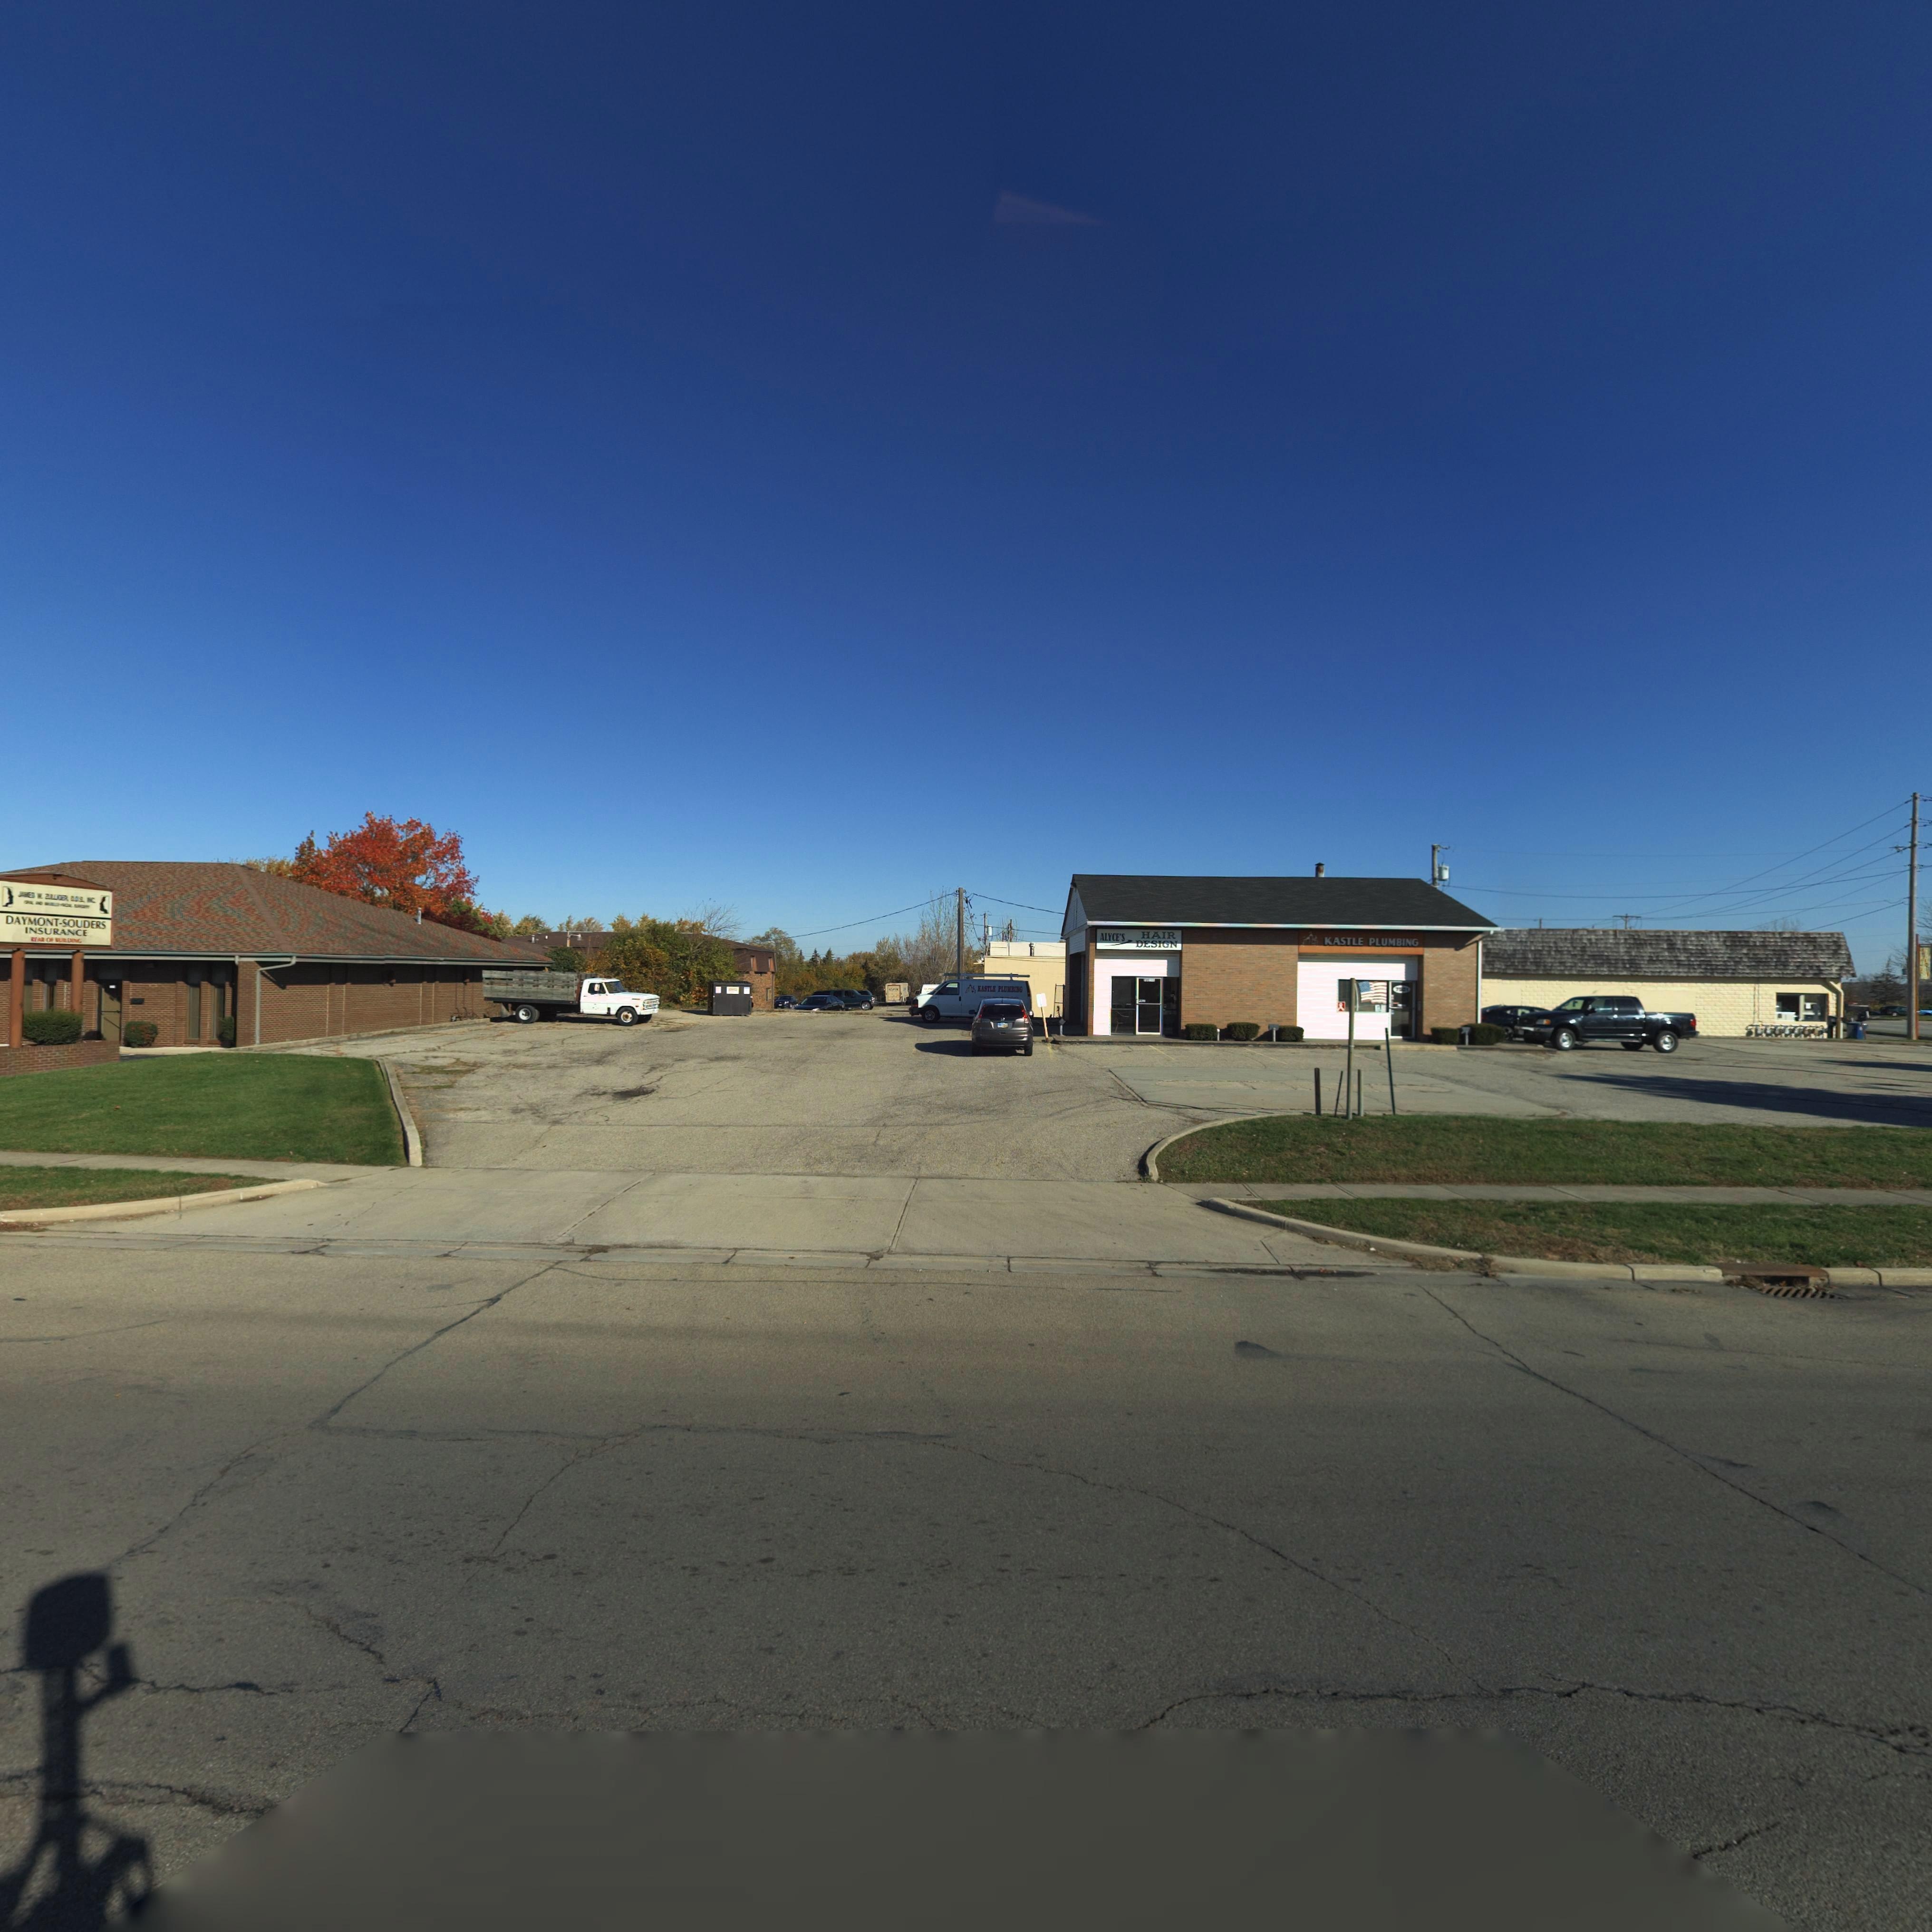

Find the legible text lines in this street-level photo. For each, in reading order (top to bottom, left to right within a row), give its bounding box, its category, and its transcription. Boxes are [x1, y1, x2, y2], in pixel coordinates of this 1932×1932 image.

[5, 915, 107, 930] BusinessName: DAYMONT-SOUDERS
[24, 926, 88, 937] BusinessName: INSURANCE
[1099, 932, 1126, 942] BusinessName: ALYCE'S
[1135, 939, 1179, 948] BusinessName: DESIGN
[1140, 930, 1177, 940] BusinessName: HAIR
[1323, 936, 1420, 947] BusinessName: KASTLE PLUMBING
[977, 985, 1023, 993] BusinessName: KASTLE PLUMBING
[1394, 986, 1409, 992] StreetNumber: 7**1